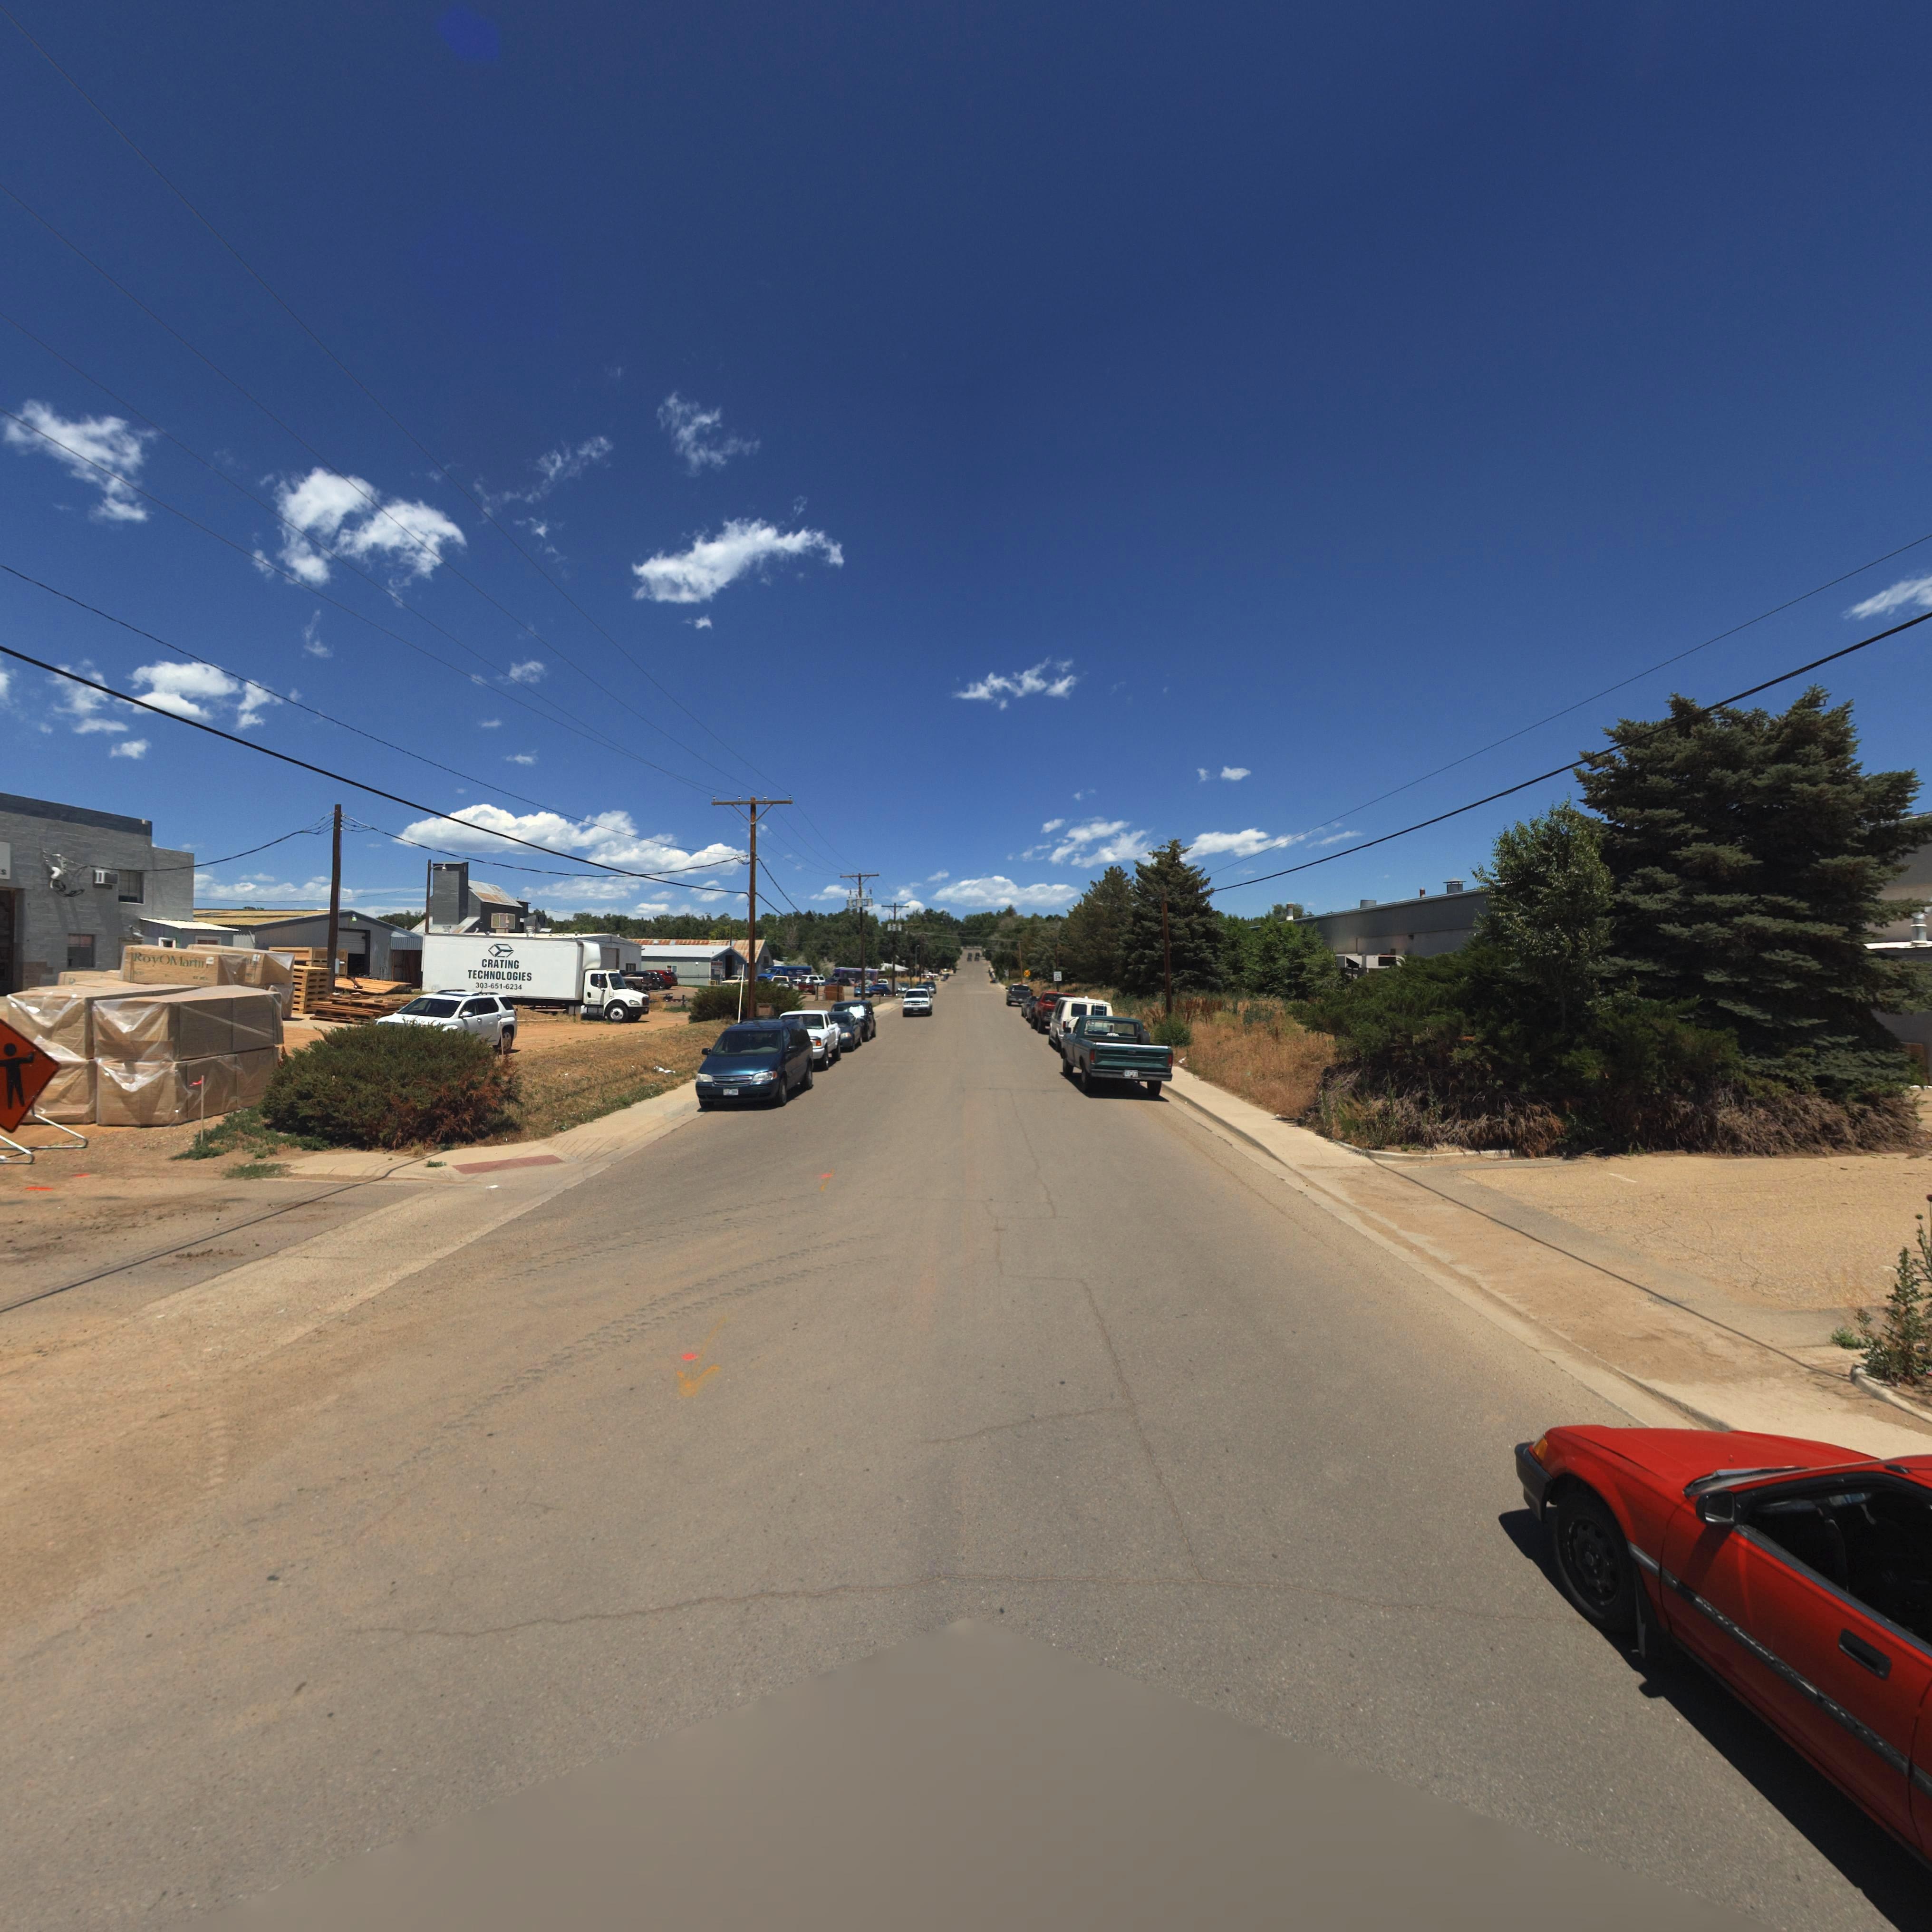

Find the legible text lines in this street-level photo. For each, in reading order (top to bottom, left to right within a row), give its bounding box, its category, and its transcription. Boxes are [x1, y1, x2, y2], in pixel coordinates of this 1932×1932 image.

[0, 869, 7, 875] BusinessName: S